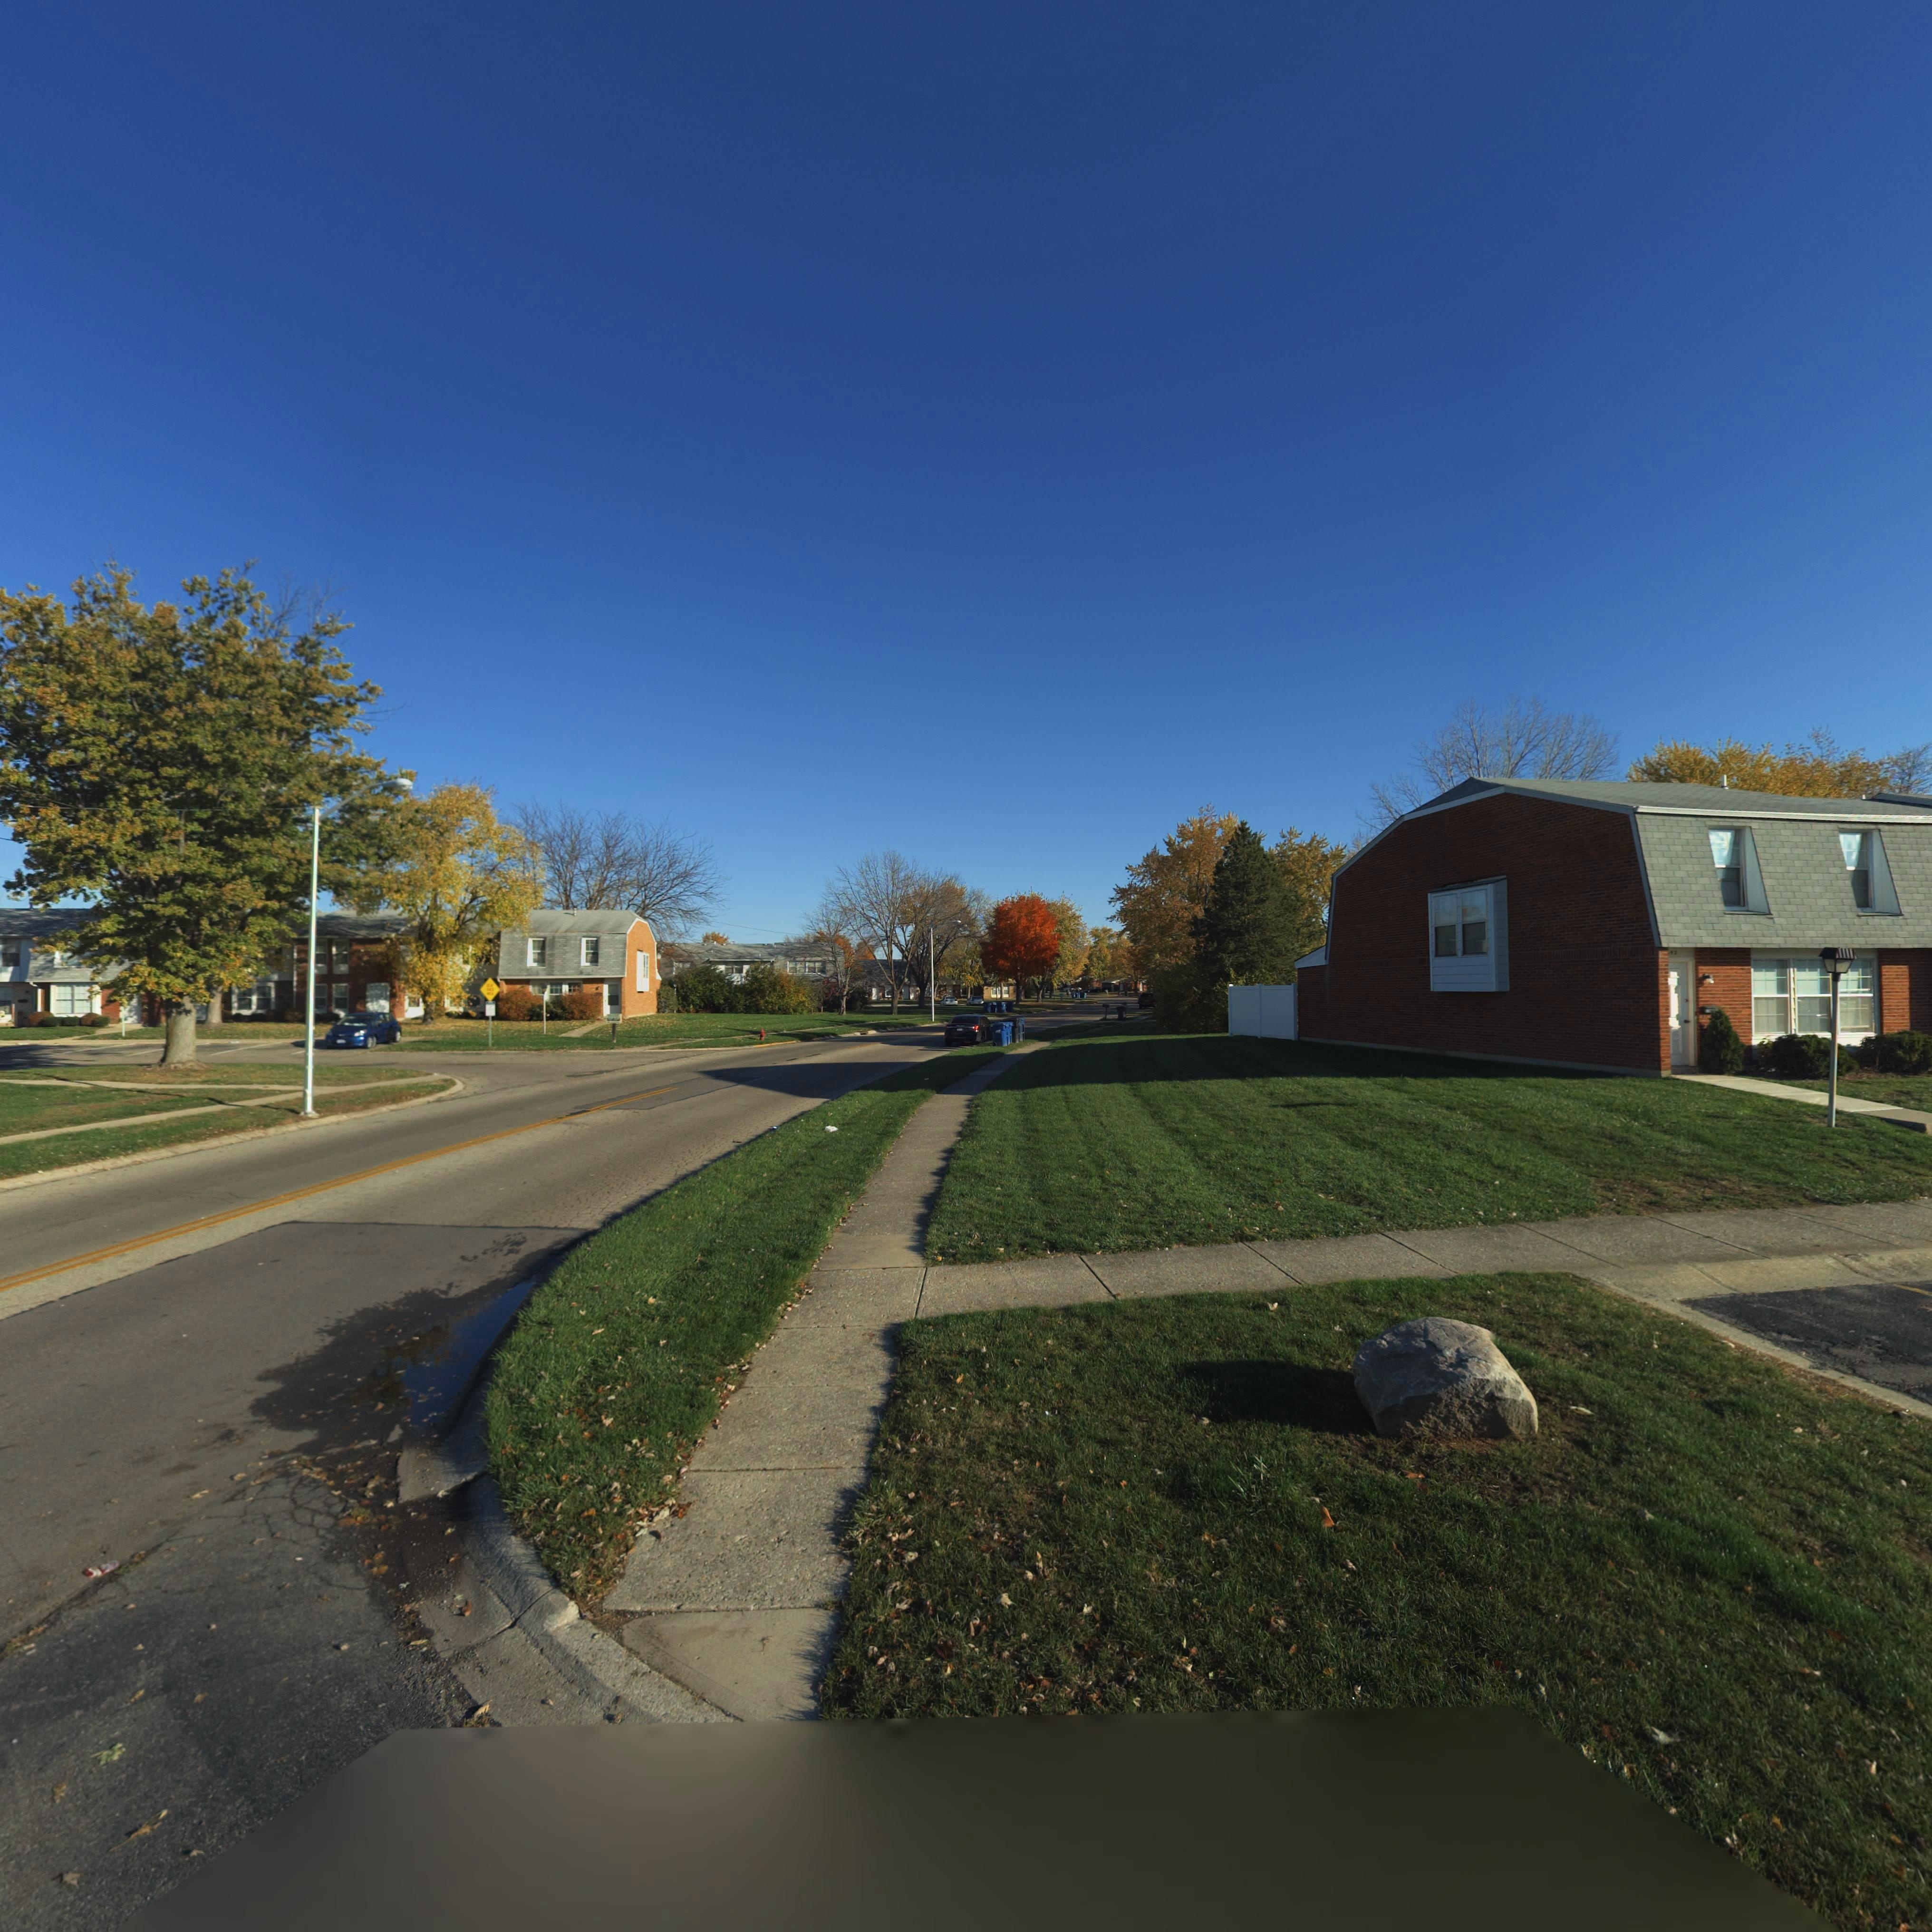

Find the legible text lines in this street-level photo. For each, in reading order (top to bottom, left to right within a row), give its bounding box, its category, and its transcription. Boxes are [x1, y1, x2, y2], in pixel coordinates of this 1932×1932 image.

[1670, 949, 1677, 956] StreetNumber: 42